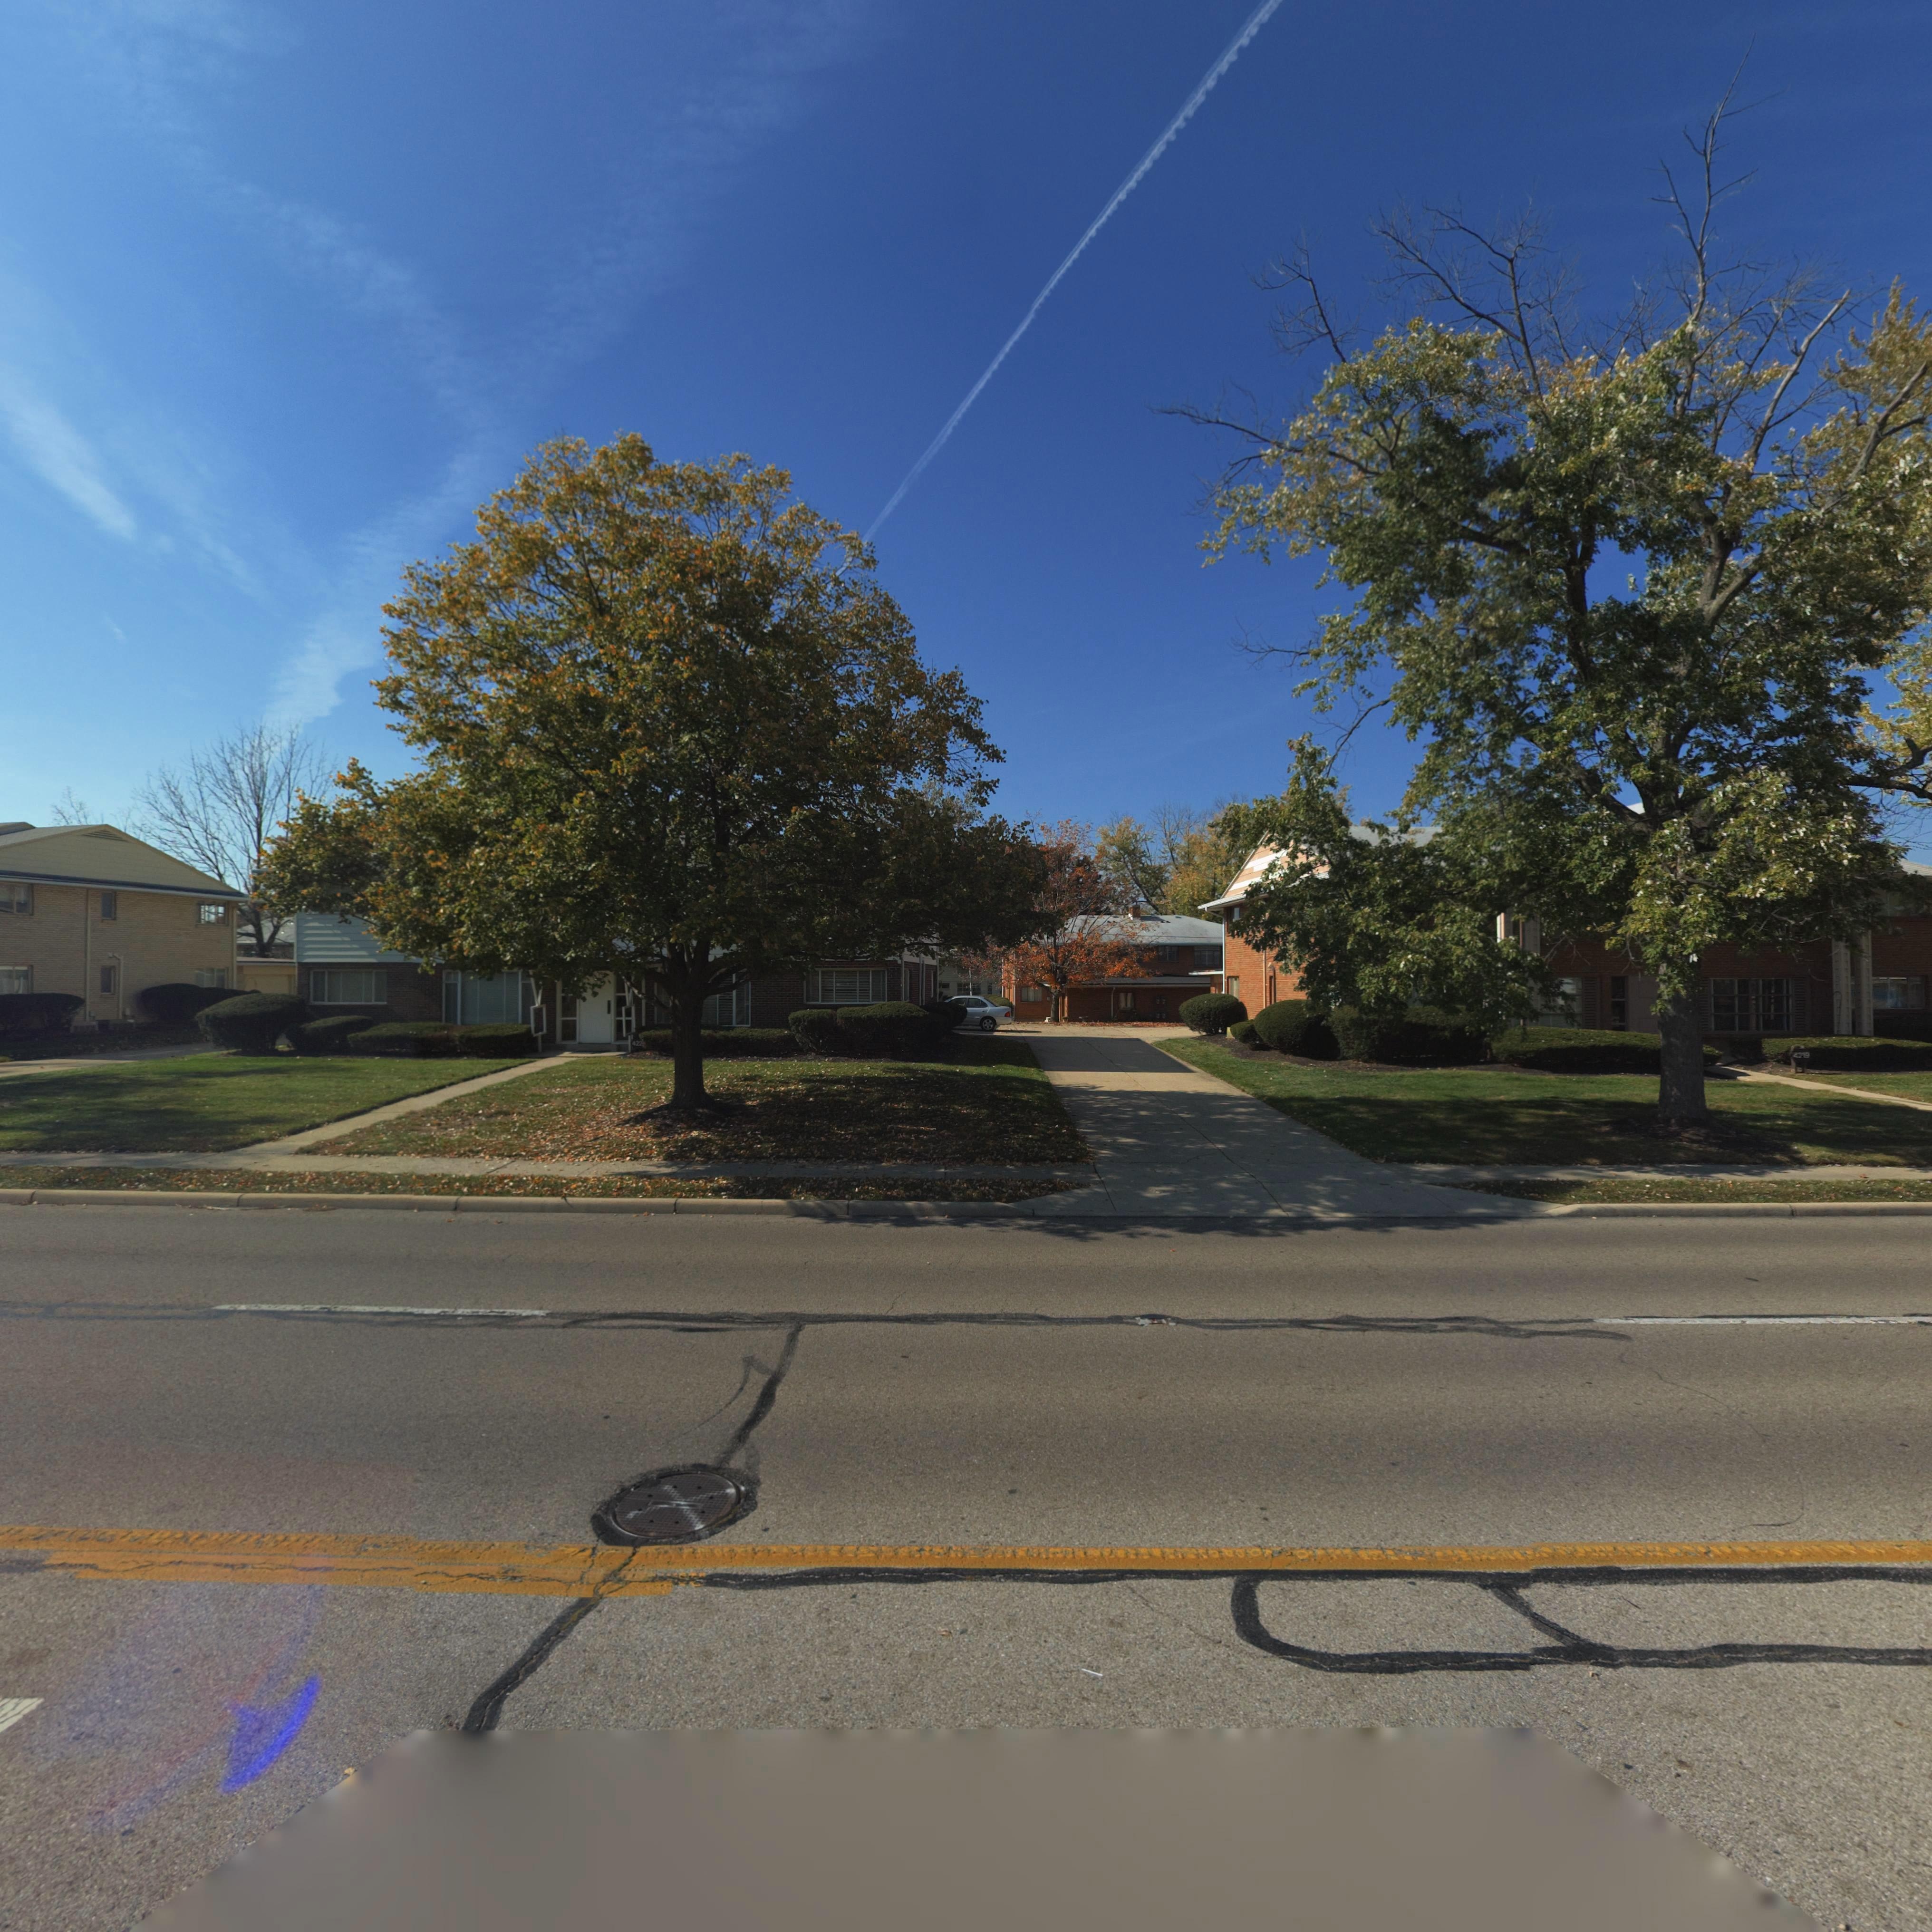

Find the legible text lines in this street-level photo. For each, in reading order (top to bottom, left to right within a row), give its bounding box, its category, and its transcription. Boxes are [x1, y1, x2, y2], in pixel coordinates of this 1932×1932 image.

[631, 1041, 643, 1046] StreetNumber: 422
[1793, 1052, 1810, 1059] StreetNumber: 4219